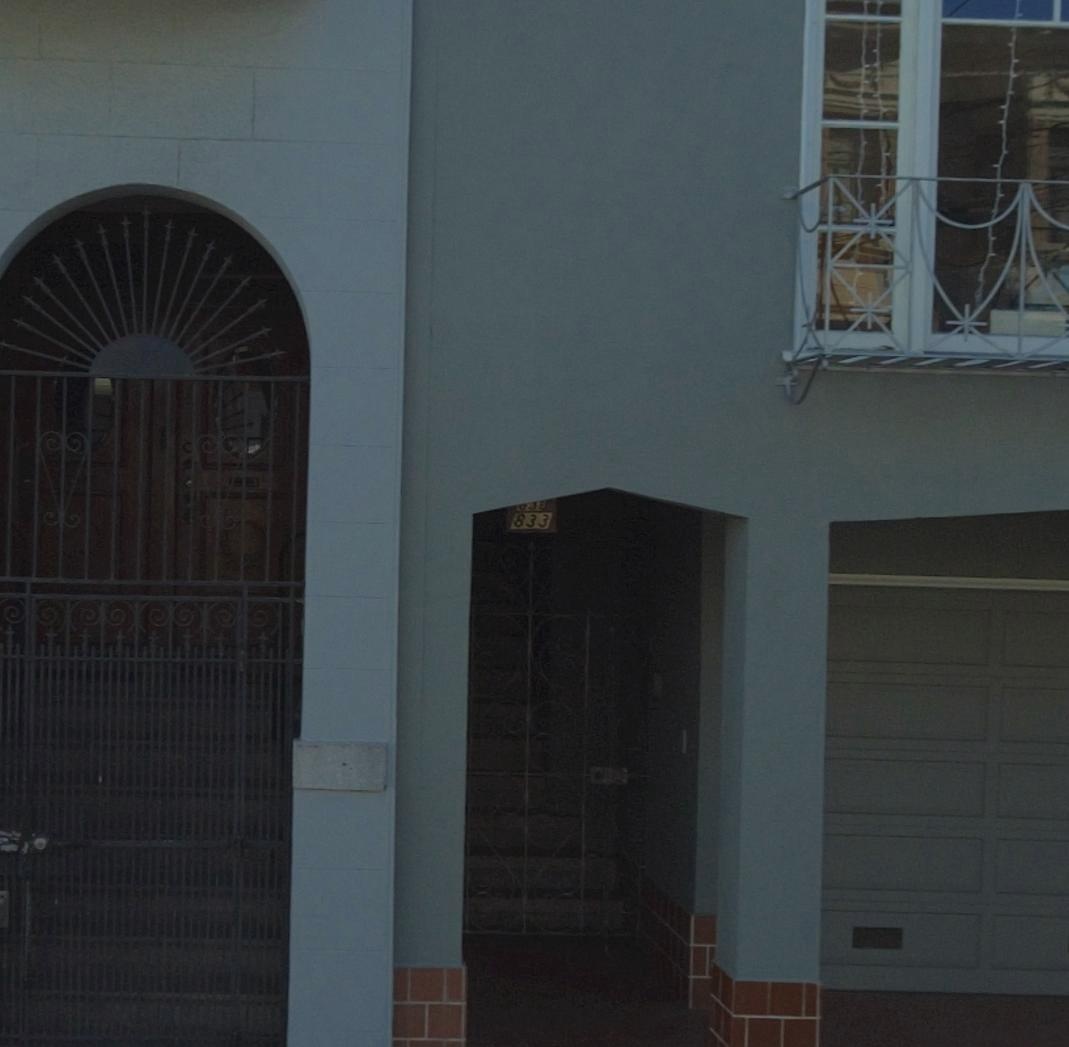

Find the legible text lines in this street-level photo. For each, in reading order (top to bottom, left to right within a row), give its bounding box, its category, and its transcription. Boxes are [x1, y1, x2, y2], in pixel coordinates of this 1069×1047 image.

[511, 512, 551, 529] StreetNumber: 833